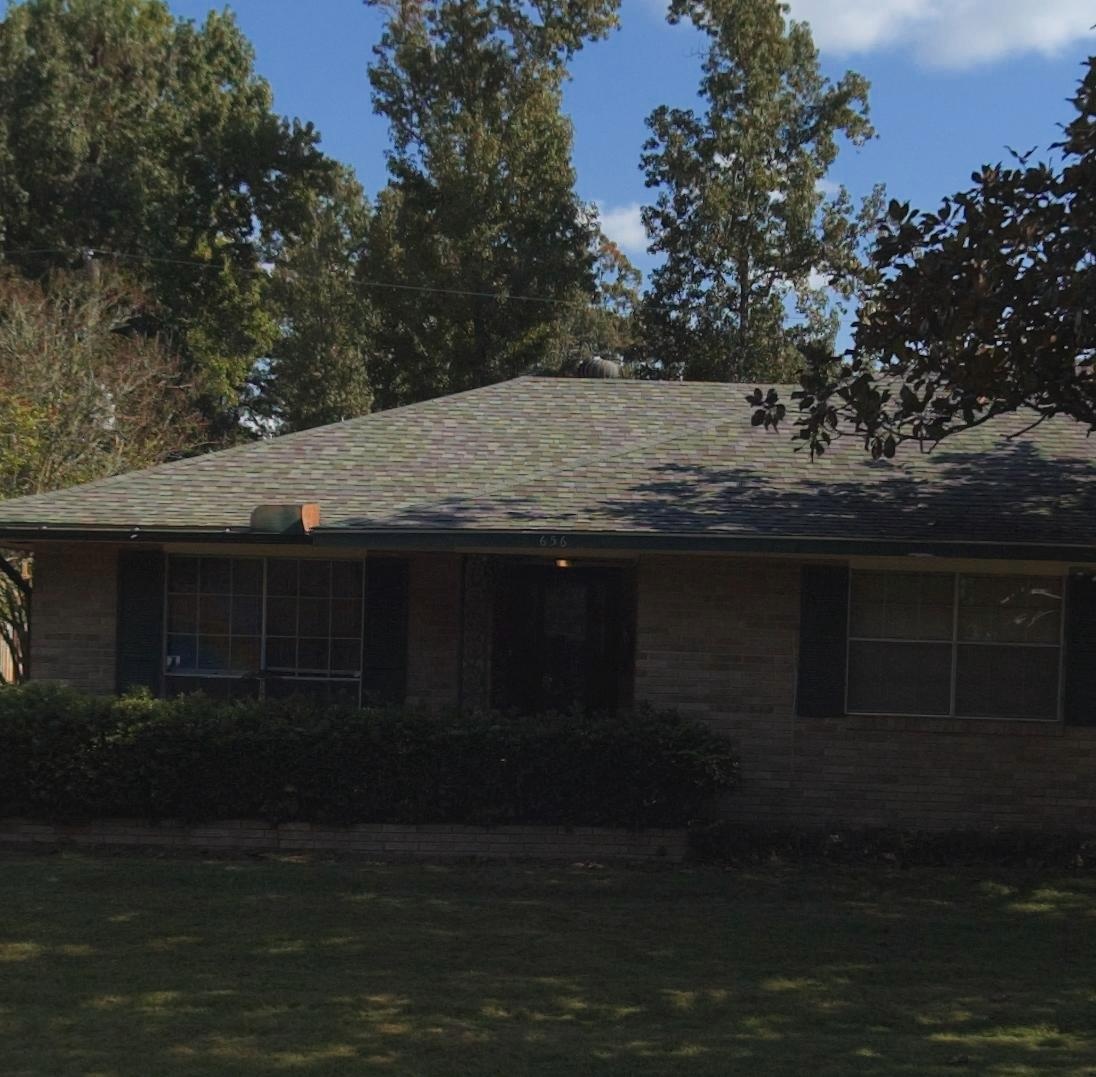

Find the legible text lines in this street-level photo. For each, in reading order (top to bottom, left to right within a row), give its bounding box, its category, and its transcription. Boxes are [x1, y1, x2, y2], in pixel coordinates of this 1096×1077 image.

[538, 535, 568, 547] StreetNumber: 656